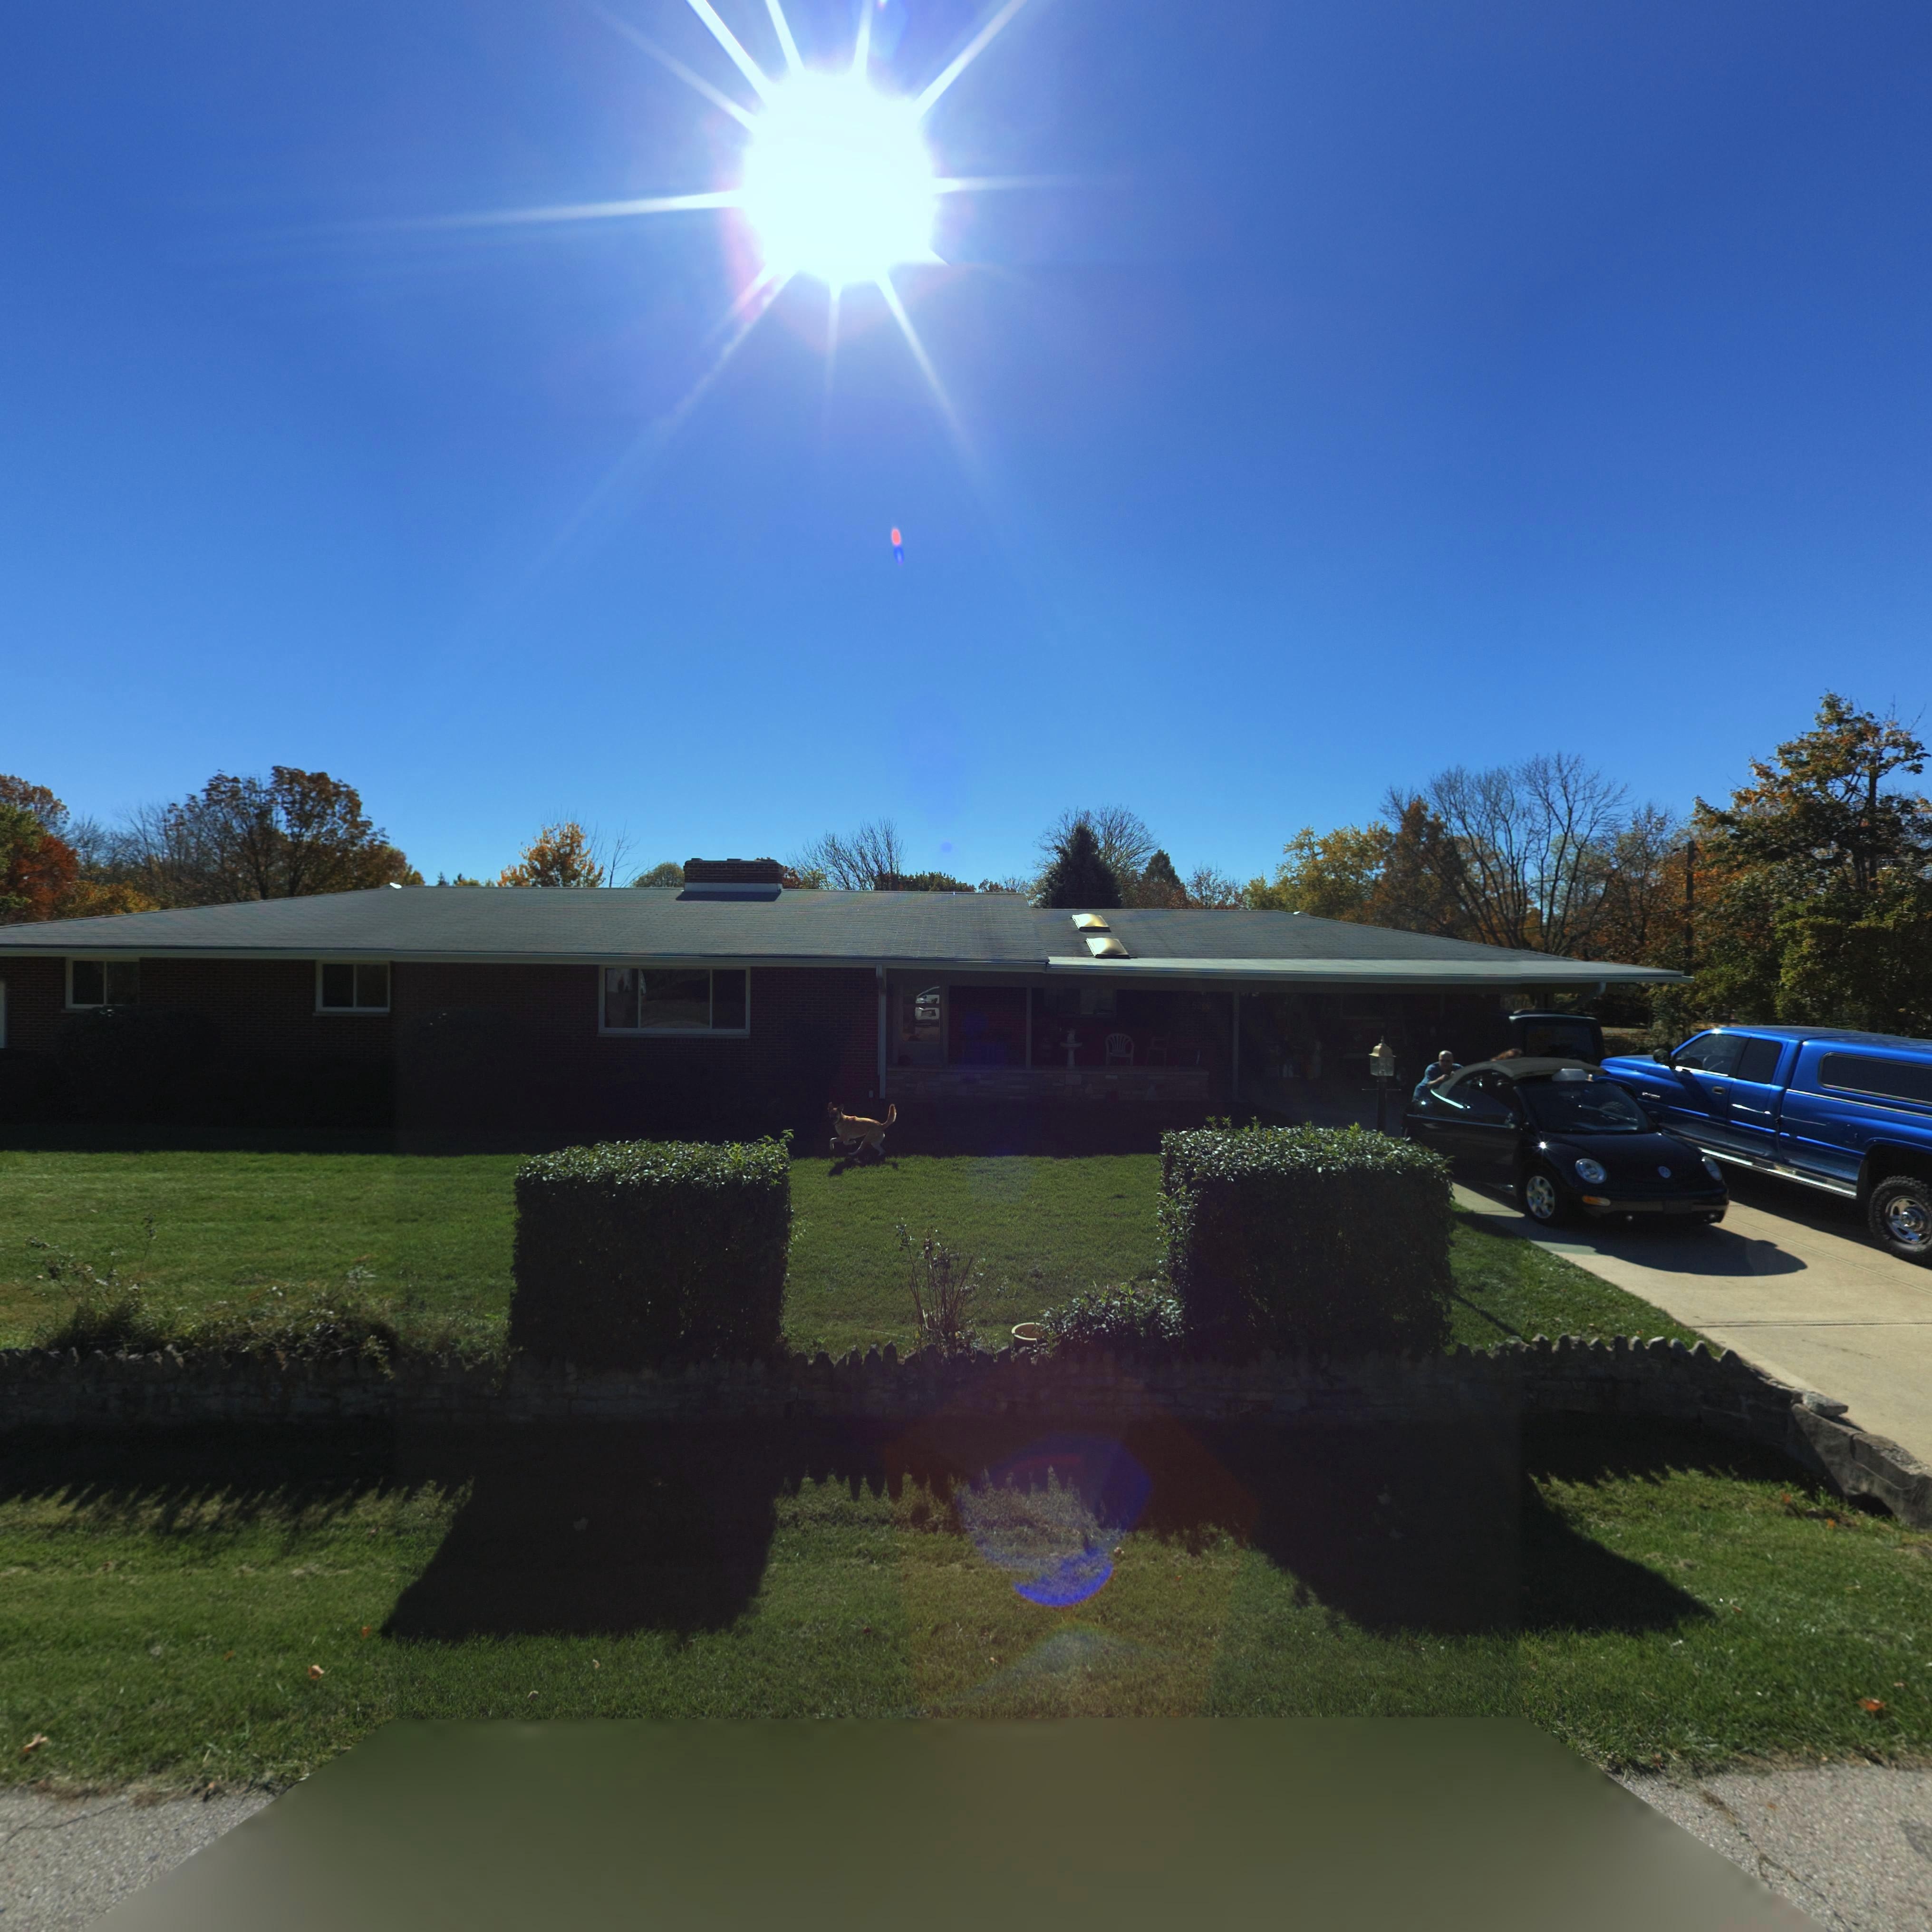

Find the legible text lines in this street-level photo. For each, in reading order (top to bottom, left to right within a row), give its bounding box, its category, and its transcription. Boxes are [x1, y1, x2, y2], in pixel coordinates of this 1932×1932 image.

[1191, 1001, 1213, 1011] StreetNumber: 5*00
[1234, 1014, 1239, 1022] StreetNumber: 0